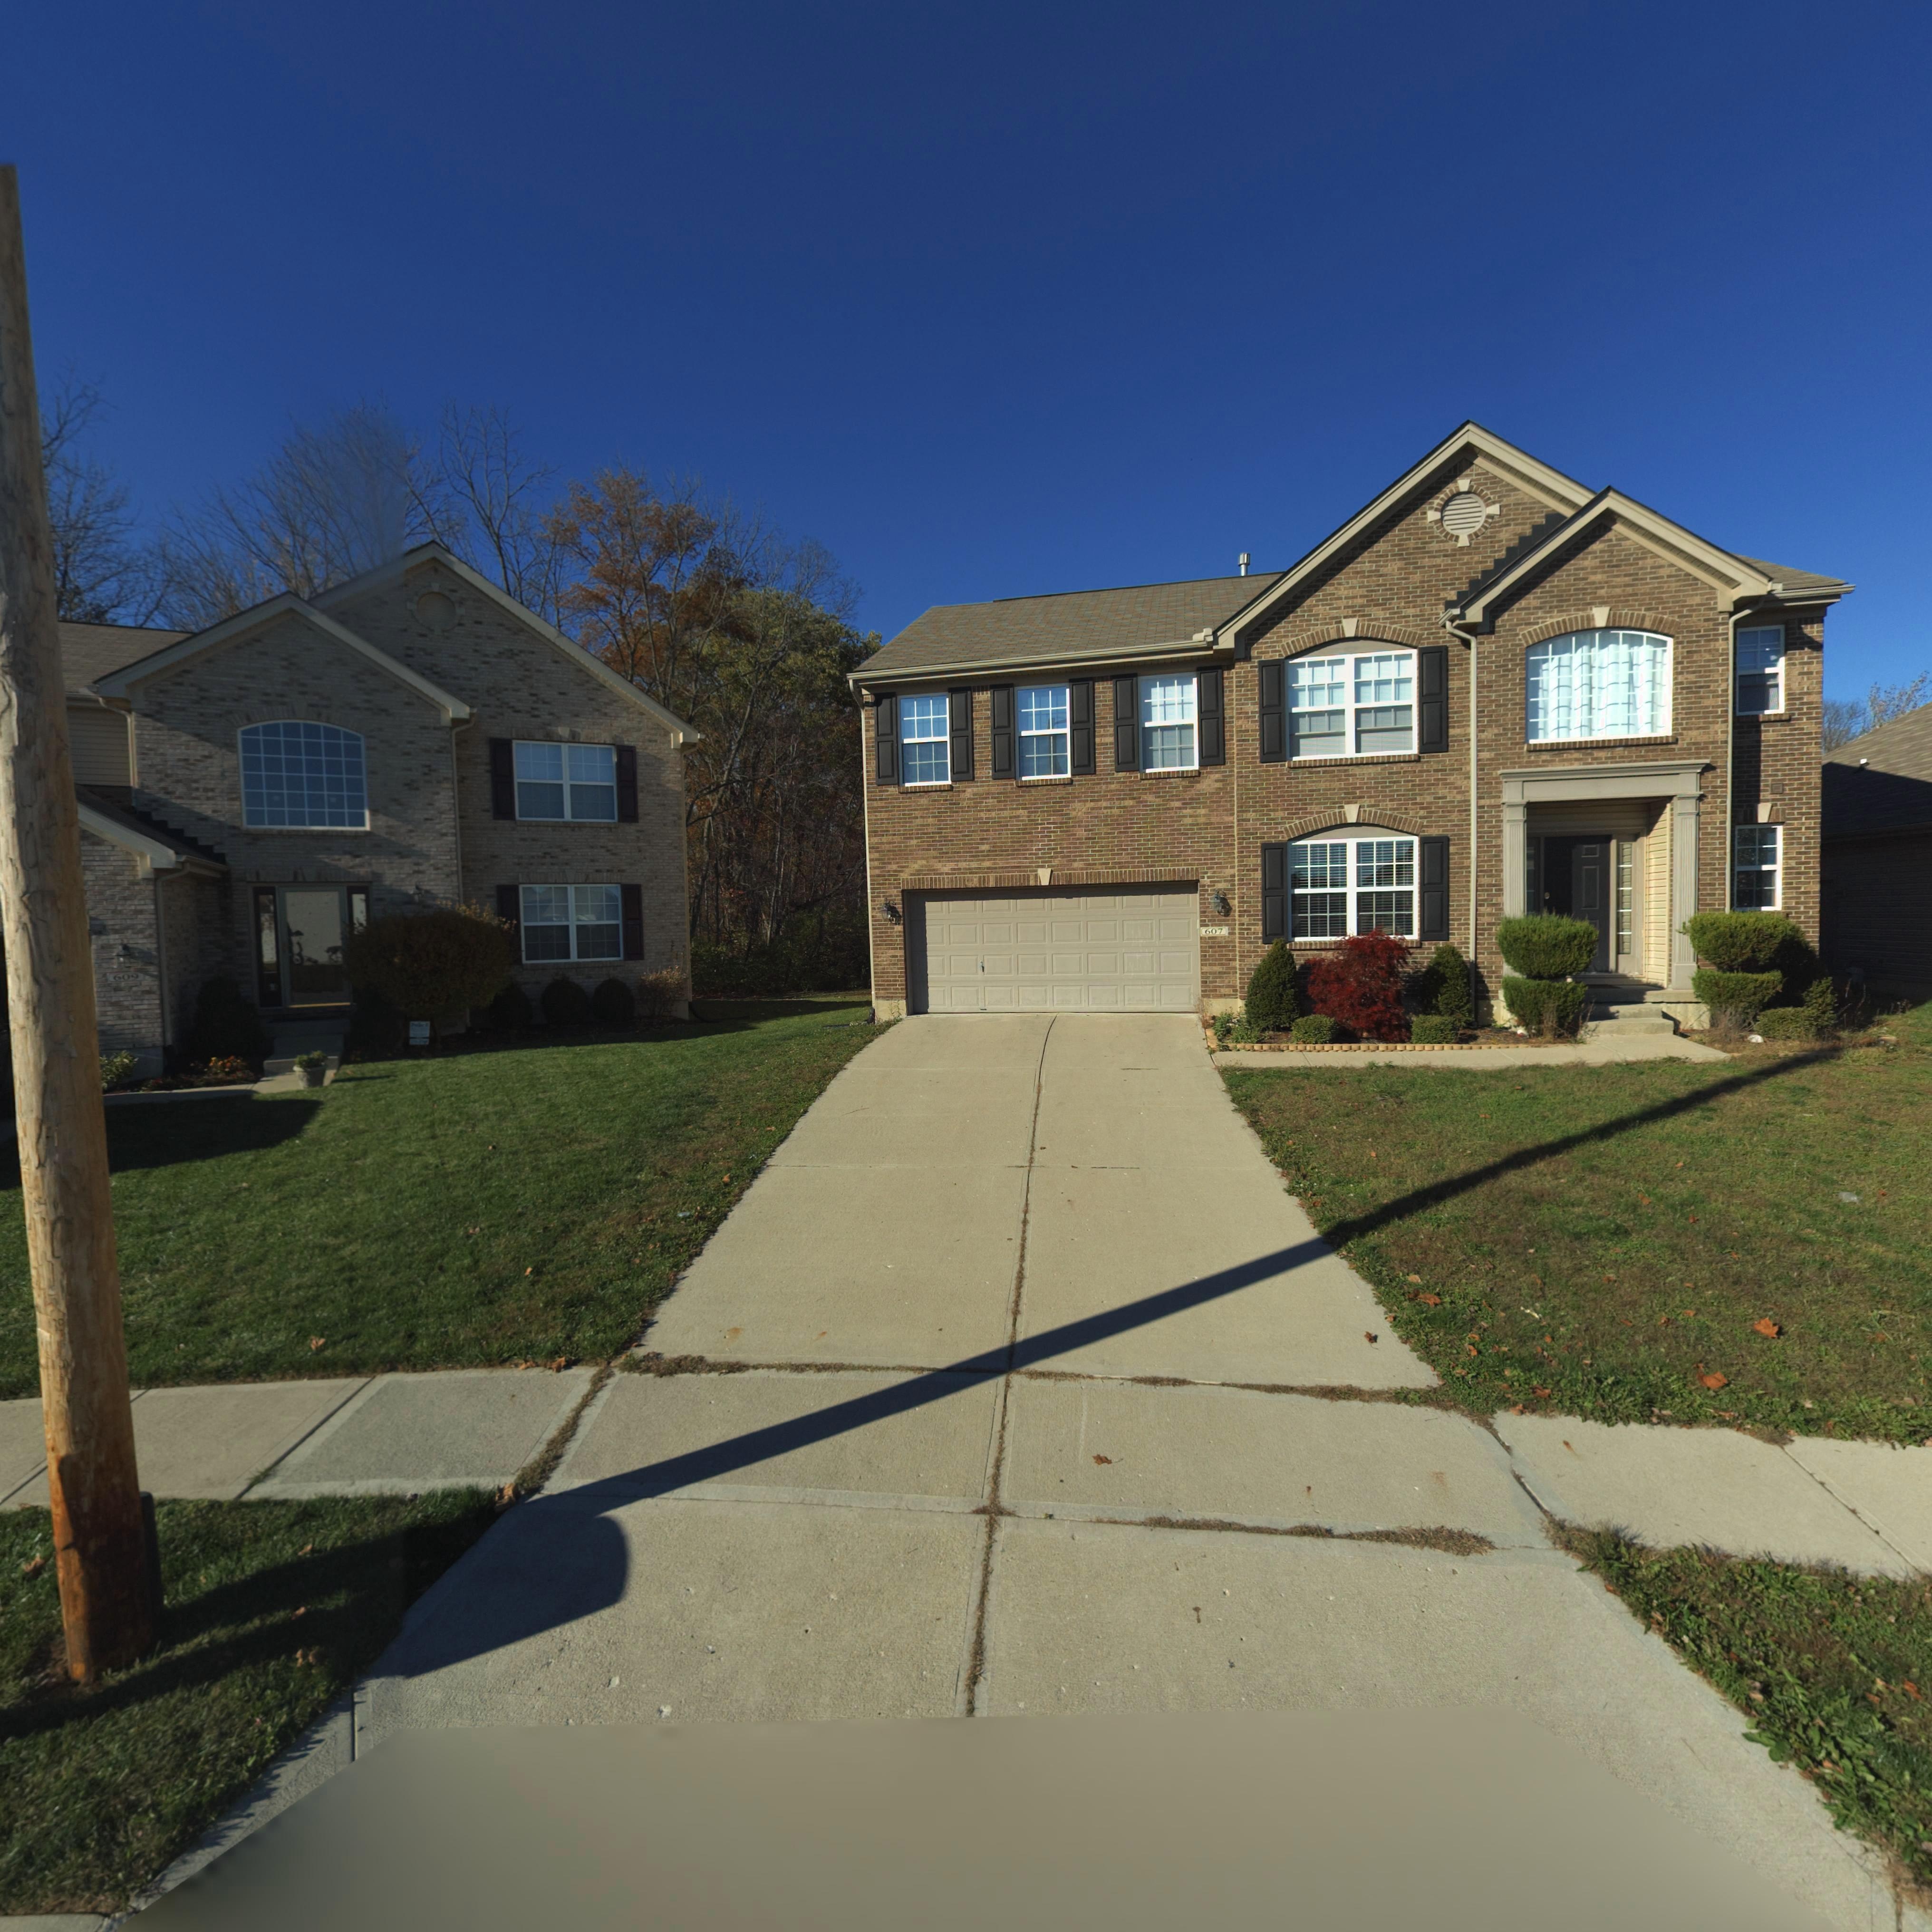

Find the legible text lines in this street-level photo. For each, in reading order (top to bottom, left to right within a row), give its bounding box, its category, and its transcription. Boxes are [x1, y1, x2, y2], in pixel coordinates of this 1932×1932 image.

[1205, 927, 1223, 935] StreetNumber: 607
[113, 973, 139, 981] StreetNumber: 609